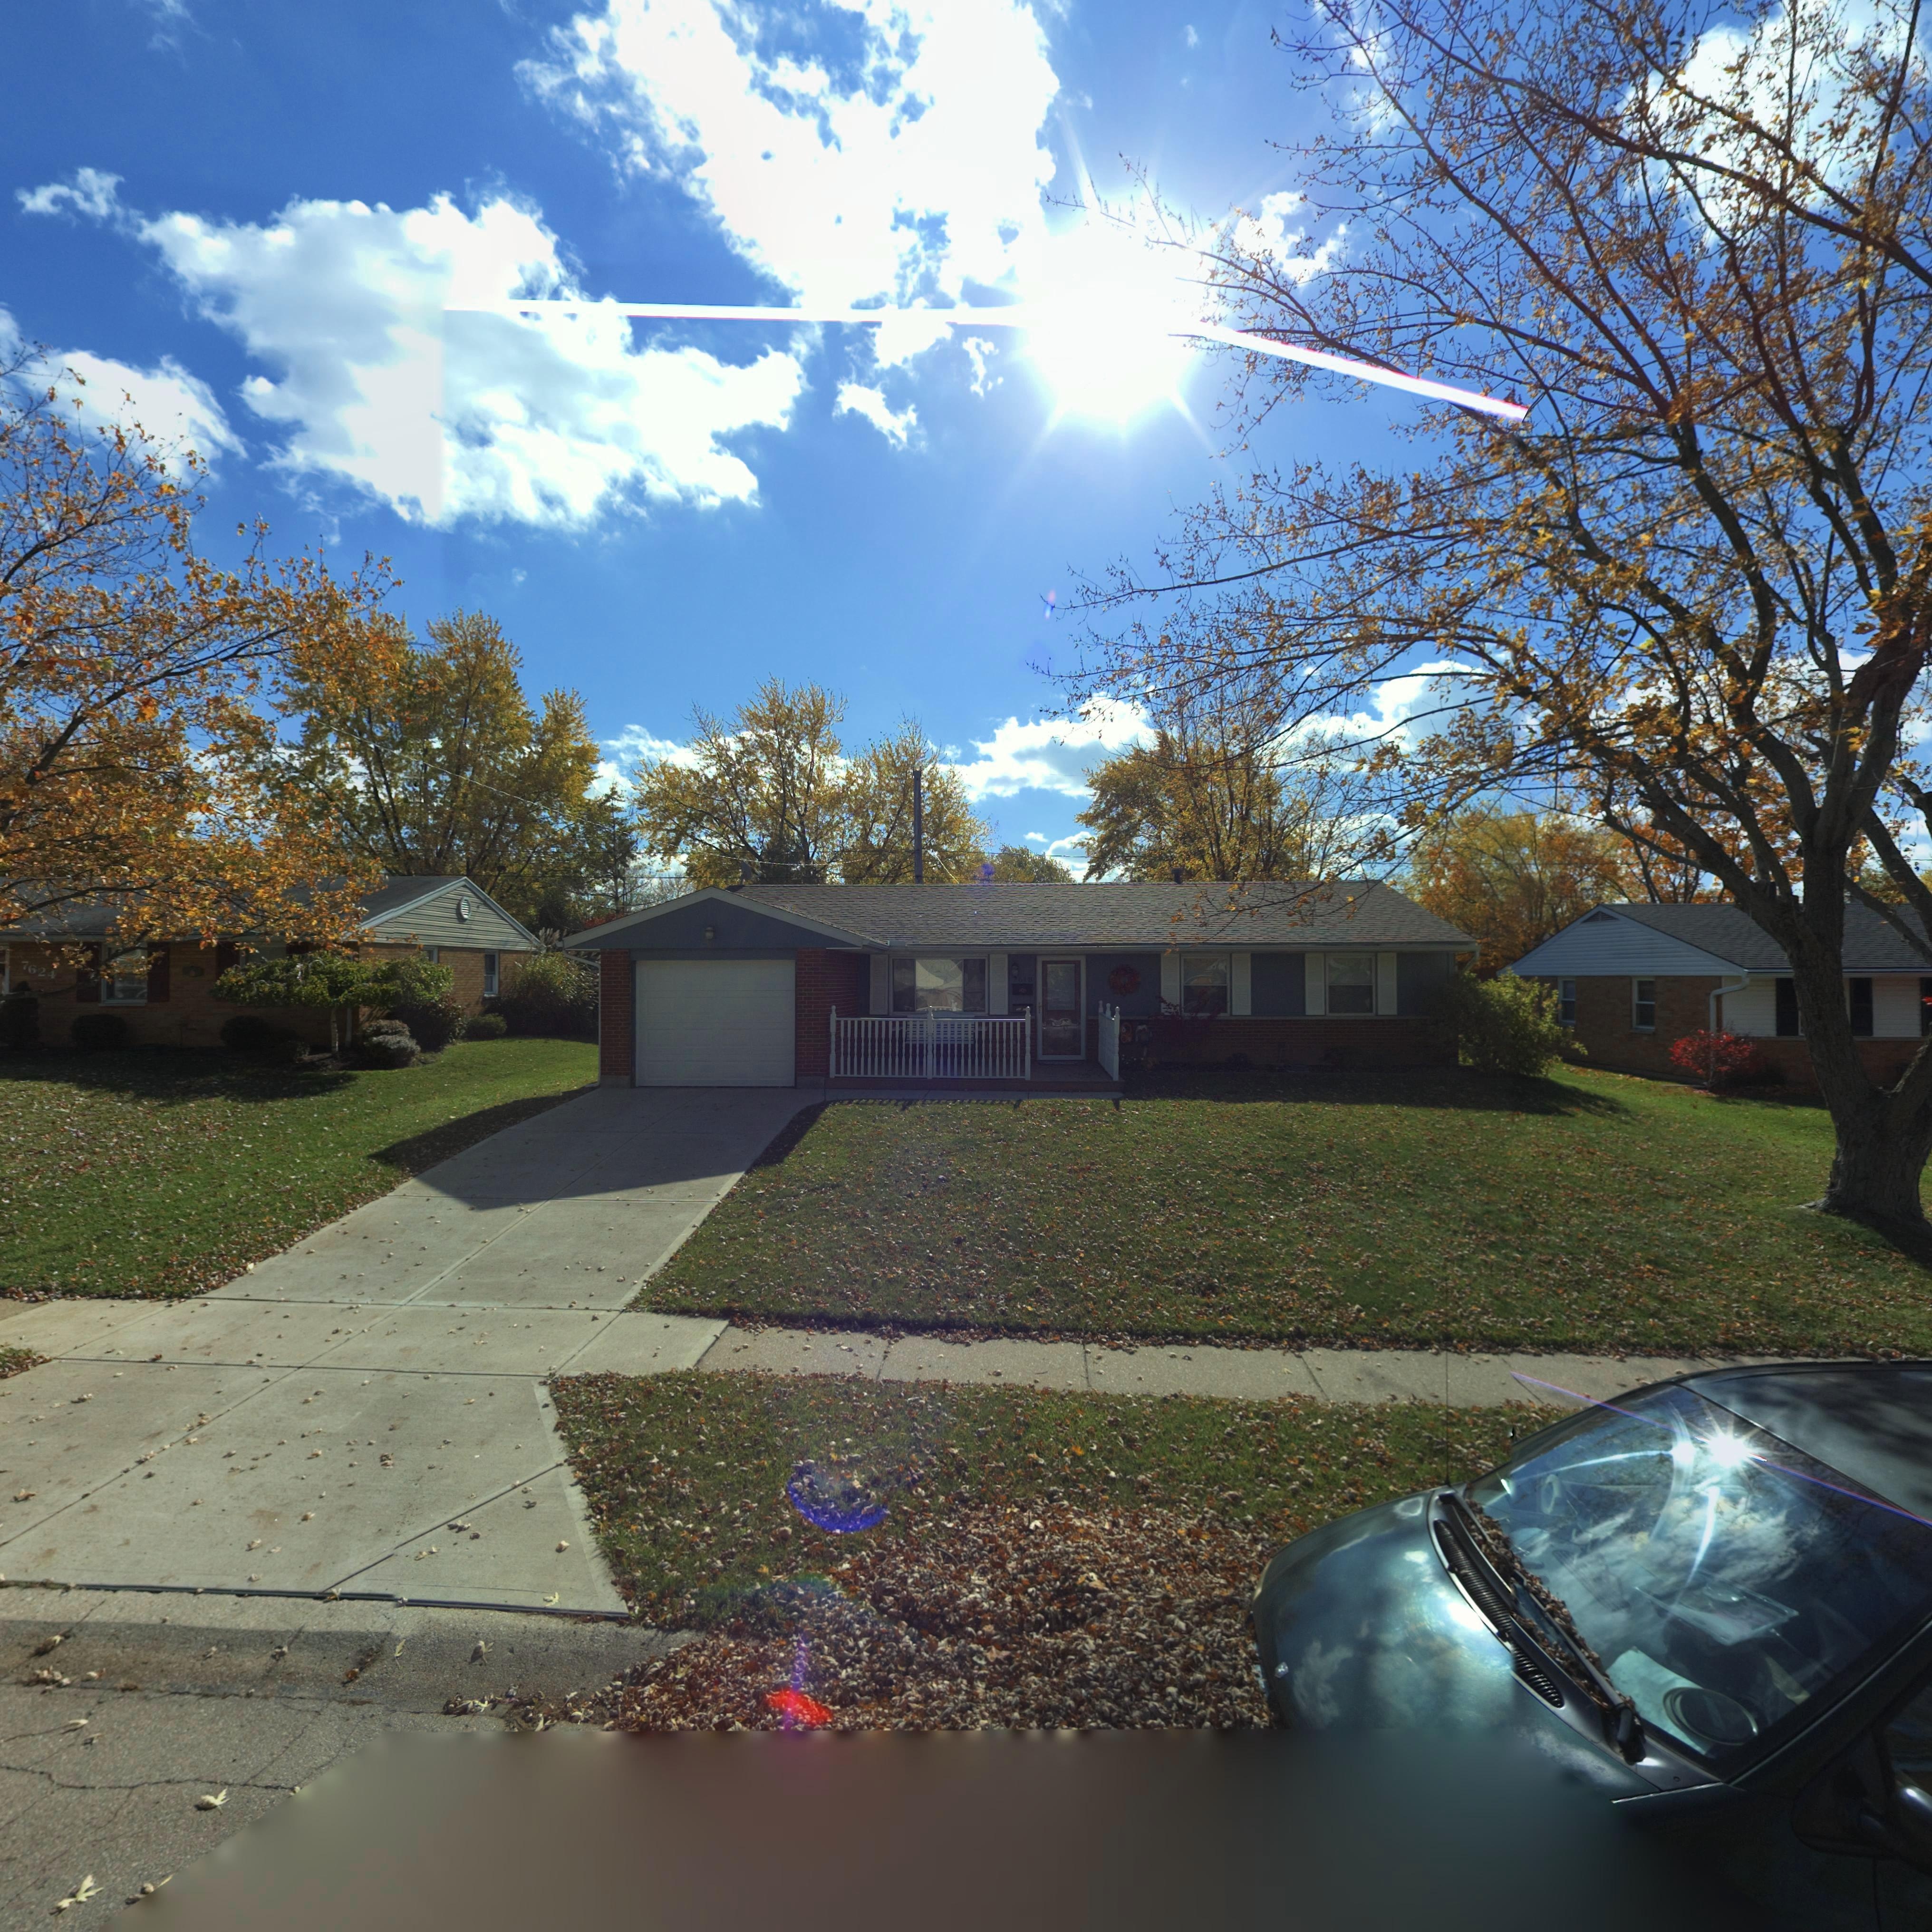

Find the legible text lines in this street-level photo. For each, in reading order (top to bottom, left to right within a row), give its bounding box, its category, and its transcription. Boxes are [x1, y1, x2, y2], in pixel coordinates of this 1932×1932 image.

[1012, 976, 1034, 983] StreetNumber: 7618